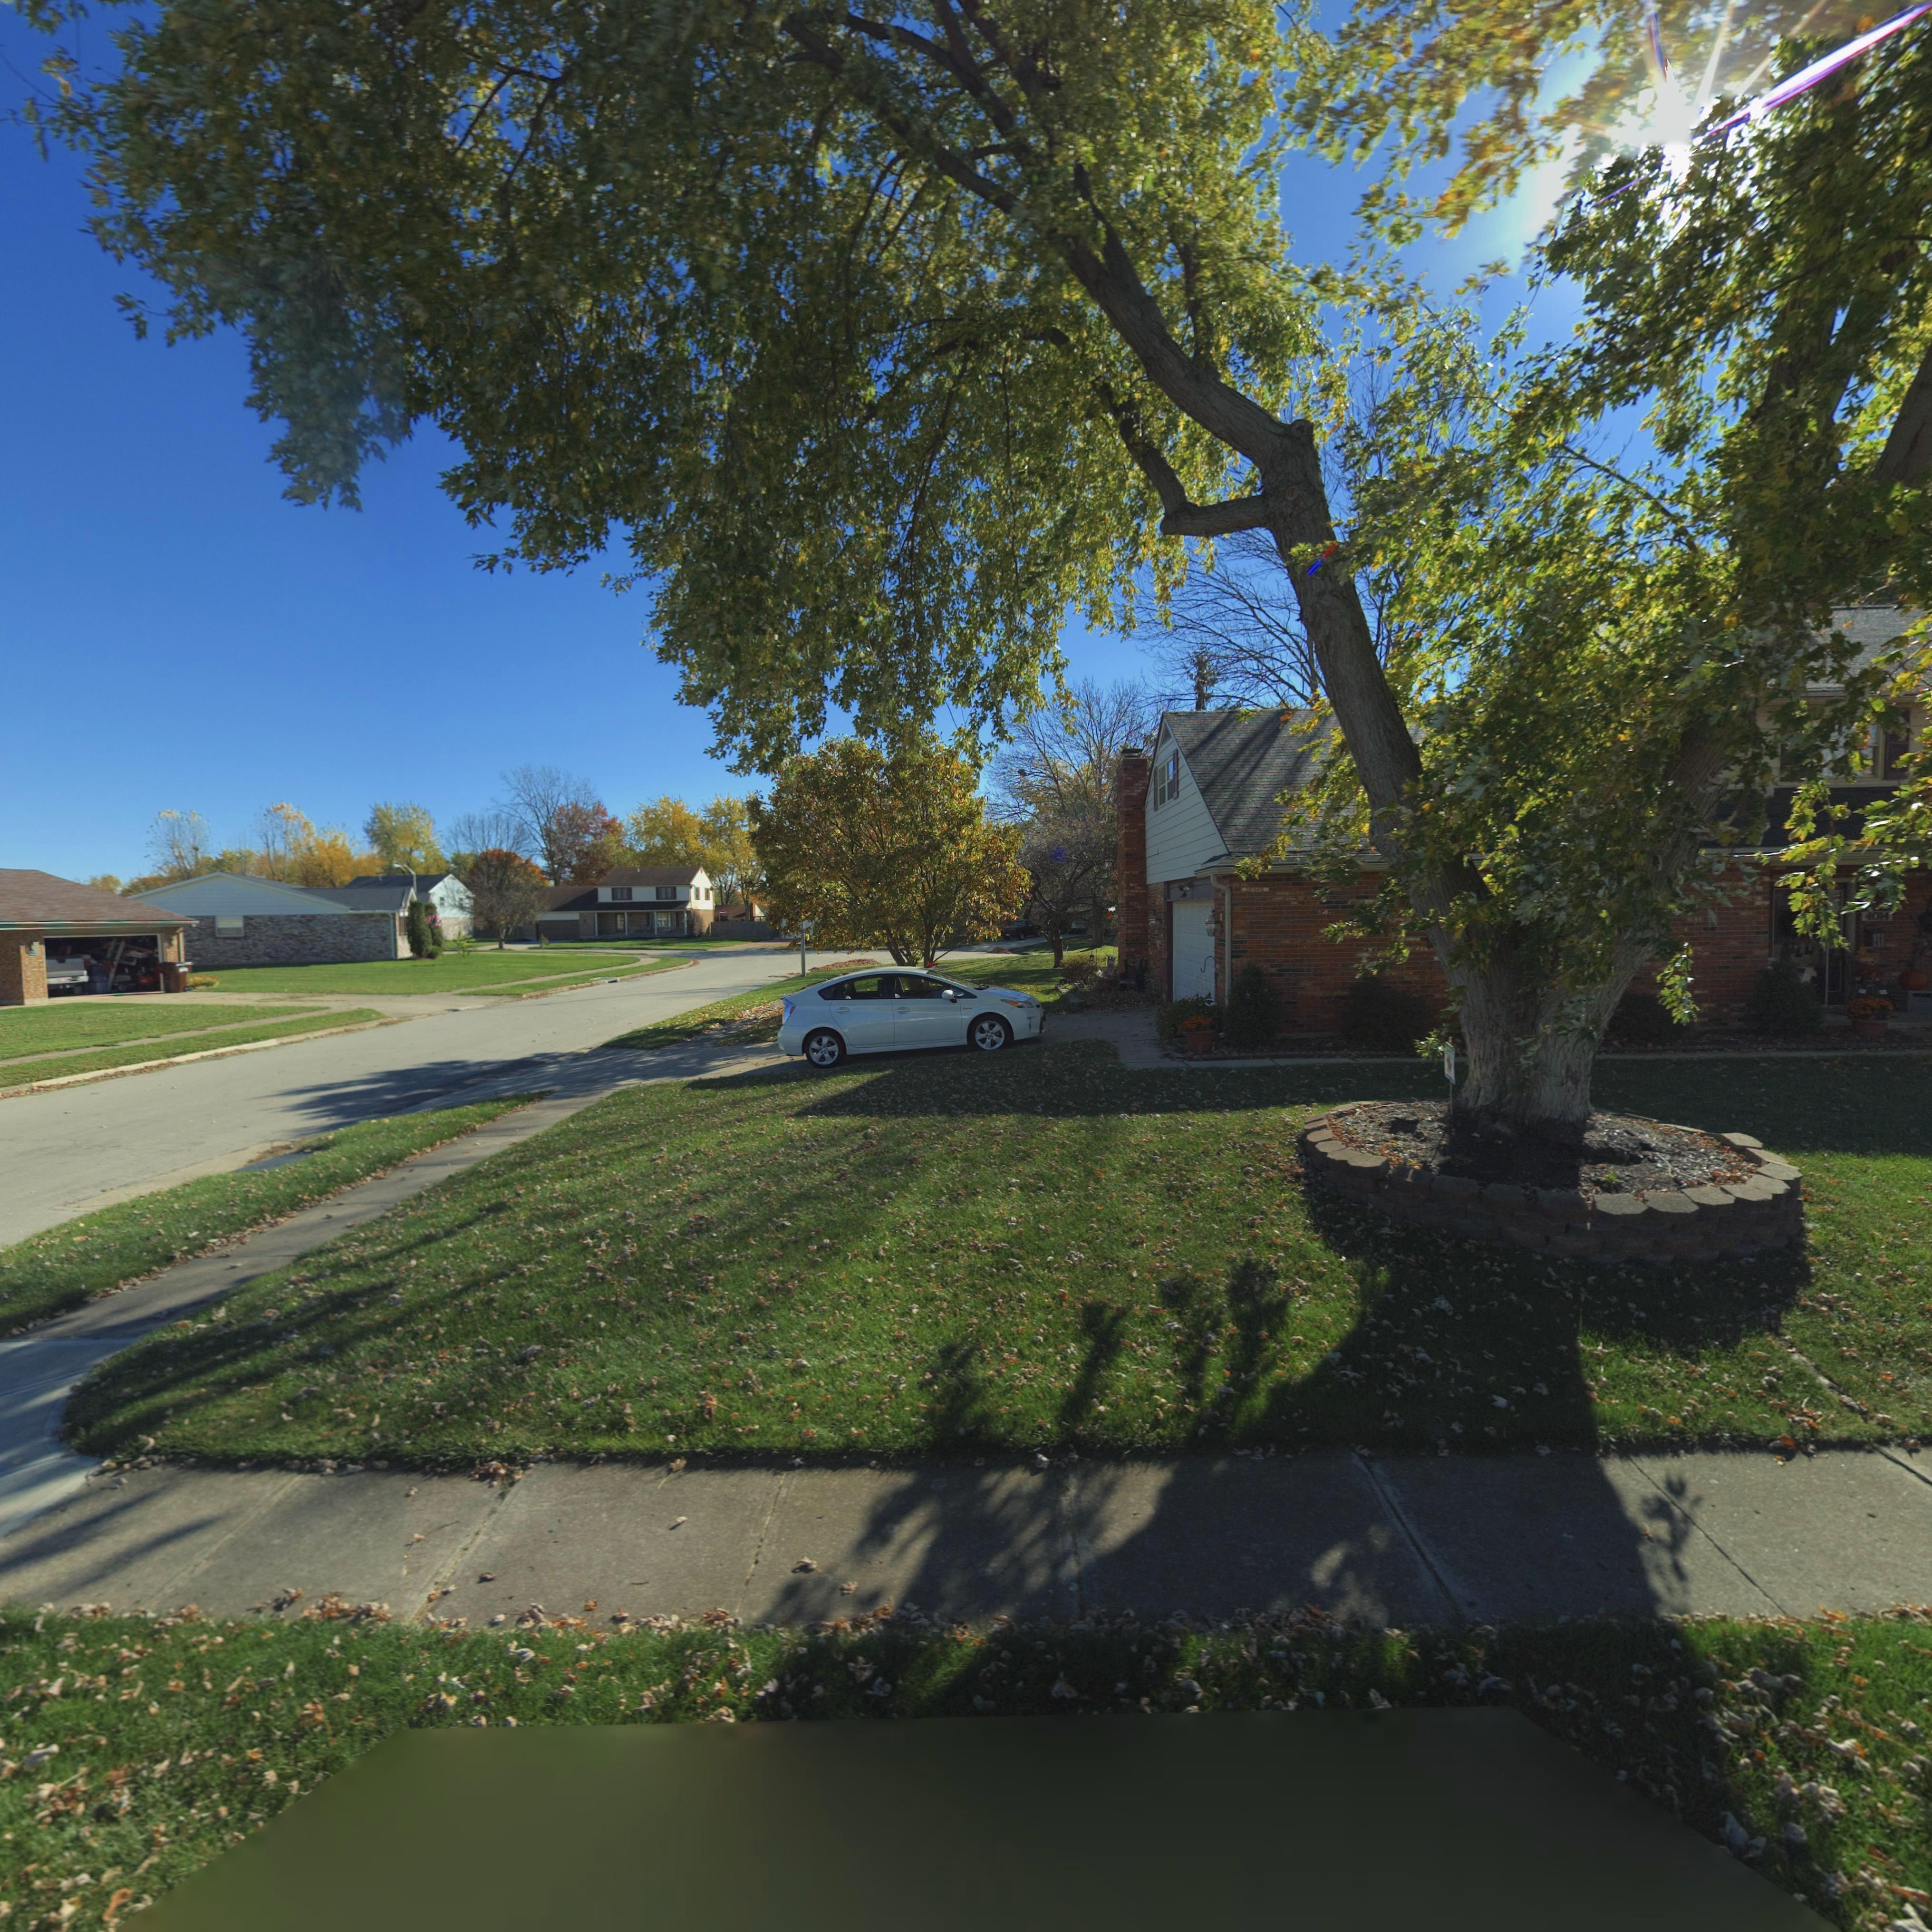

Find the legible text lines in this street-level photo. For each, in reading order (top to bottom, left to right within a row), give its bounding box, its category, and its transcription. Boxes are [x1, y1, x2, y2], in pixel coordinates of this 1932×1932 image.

[1864, 911, 1889, 920] StreetNumber: 4014